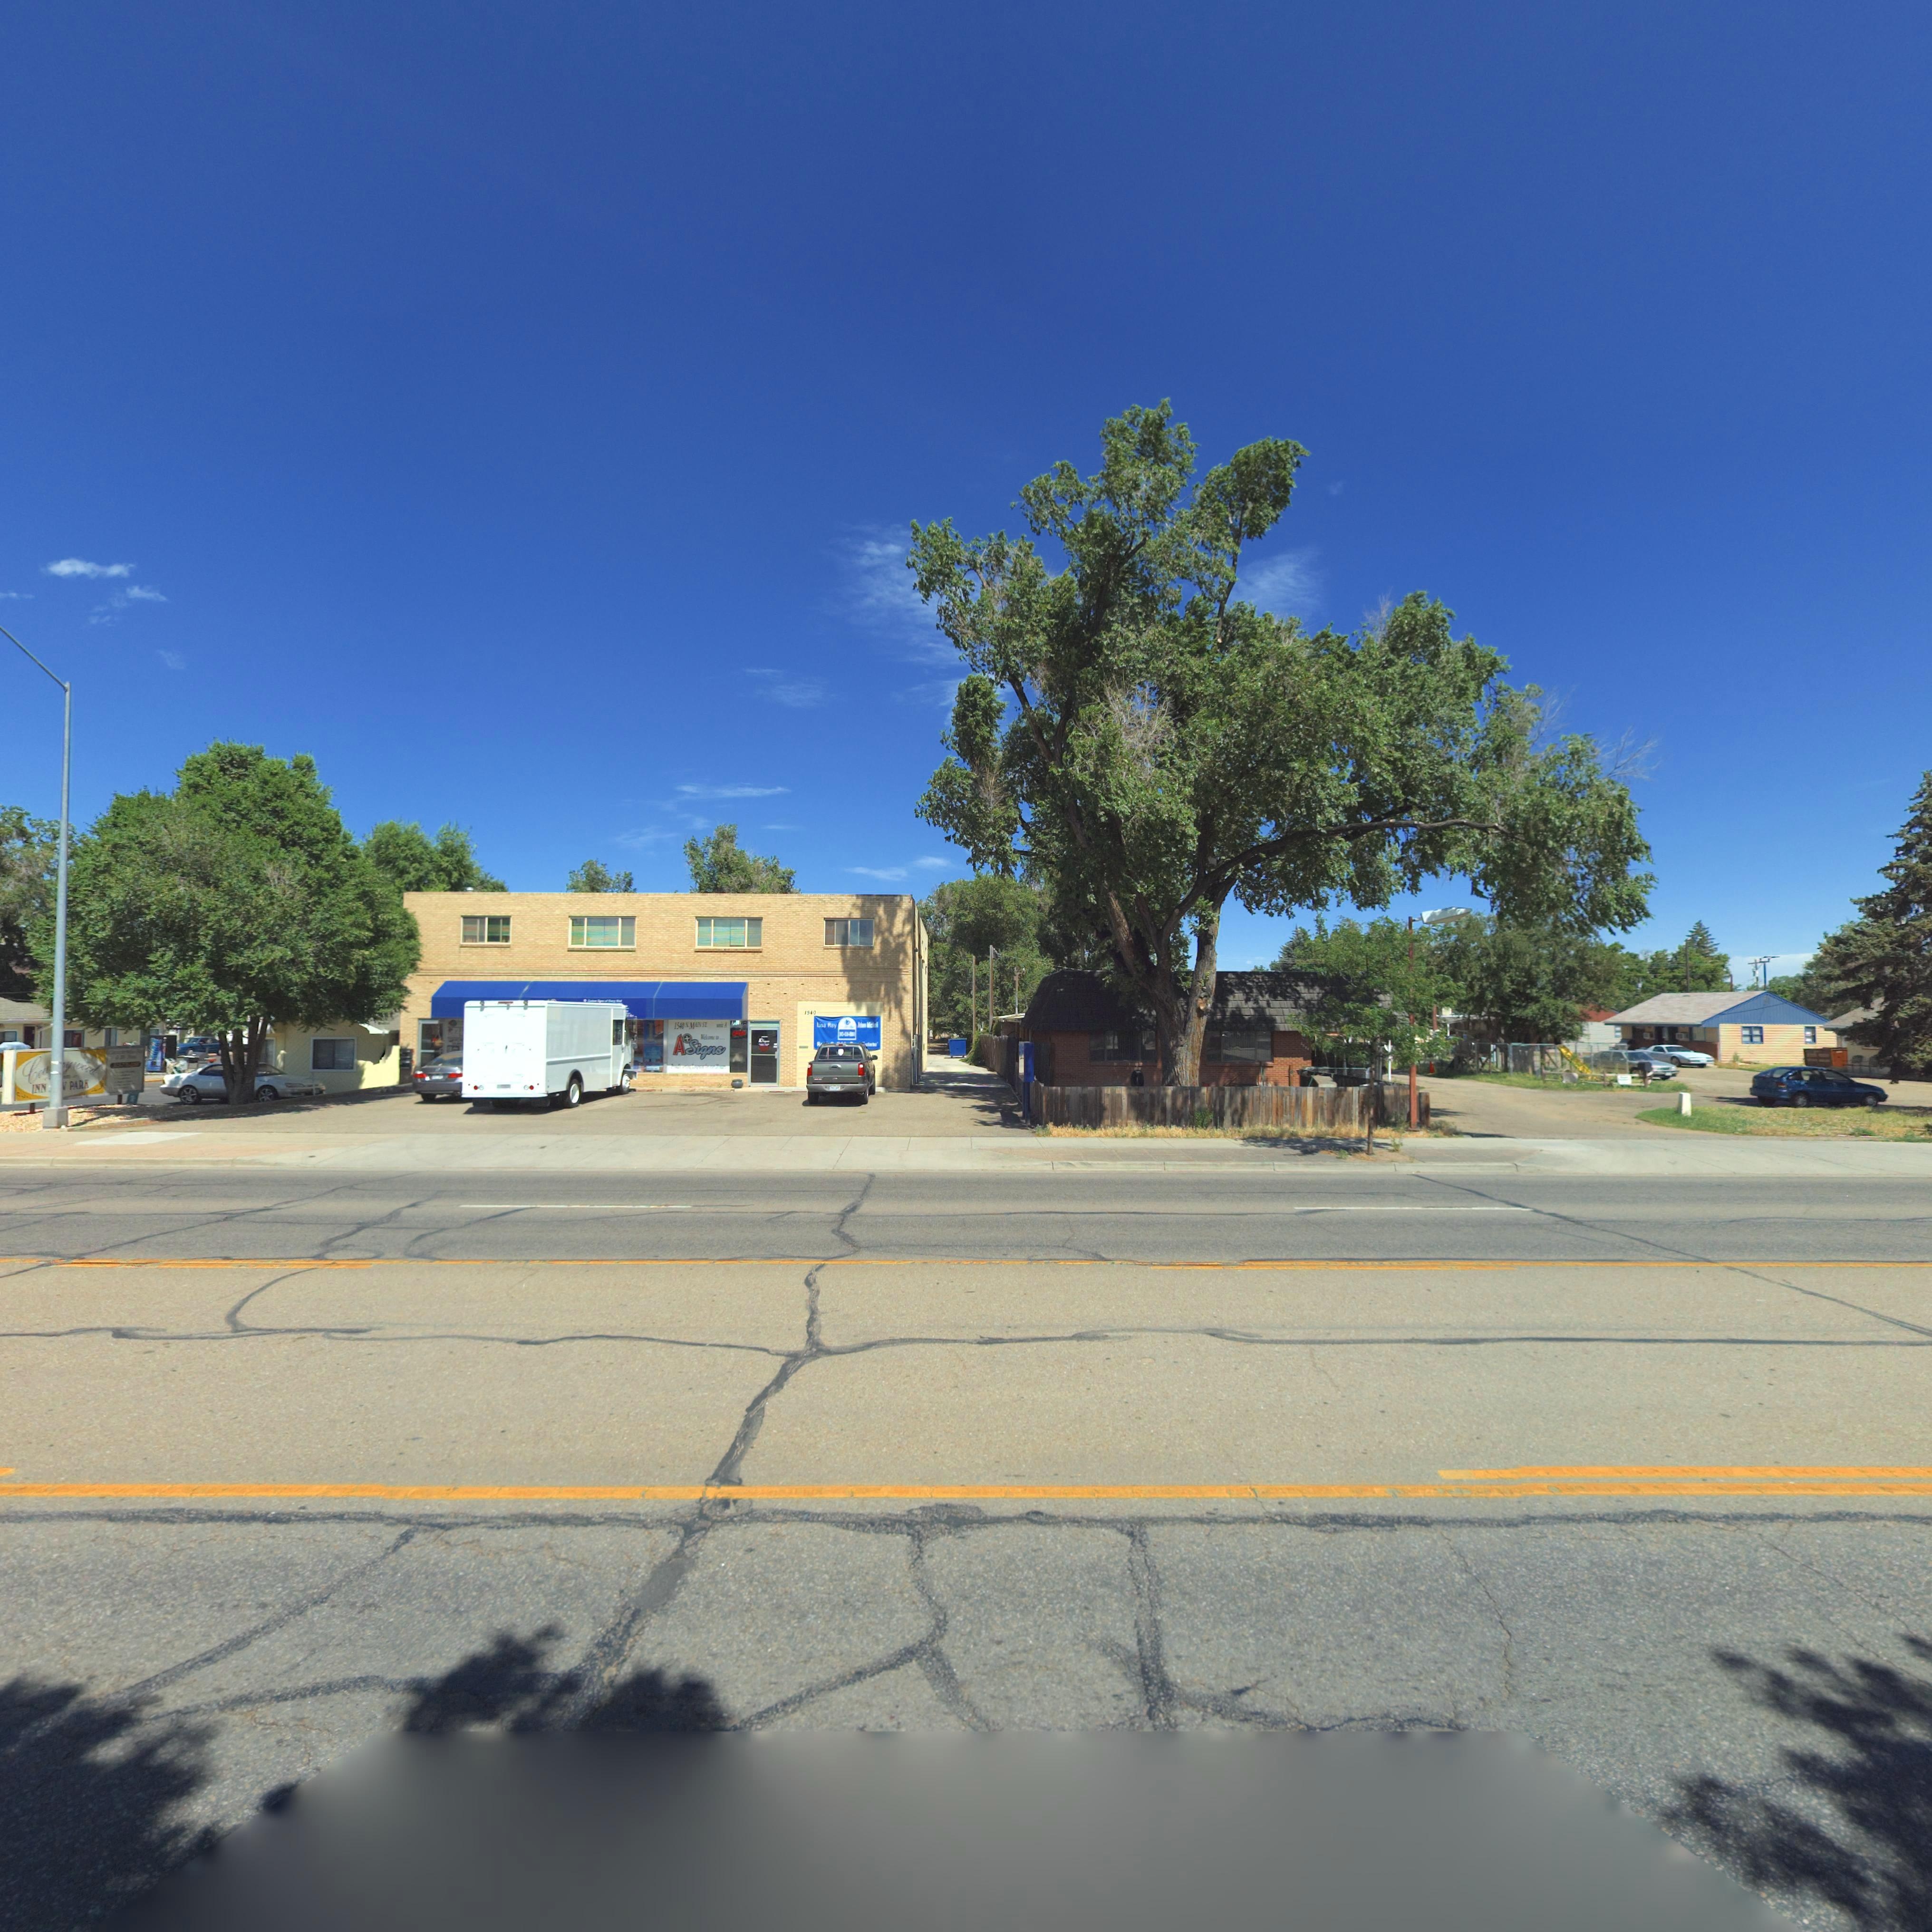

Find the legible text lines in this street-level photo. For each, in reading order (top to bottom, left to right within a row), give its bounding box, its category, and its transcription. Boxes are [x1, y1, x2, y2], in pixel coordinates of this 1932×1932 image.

[804, 1010, 816, 1014] StreetNumber: 1540
[674, 1021, 685, 1029] StreetNumber: 1540
[685, 1022, 707, 1029] StreetName: N. MAIN ST.
[716, 1022, 728, 1027] StreetNumberRange: unit A
[757, 1037, 770, 1043] BusinessName: ASigns
[672, 1033, 726, 1060] BusinessName: ASigns
[20, 1055, 105, 1084] BusinessName: Cou****wood
[31, 1079, 89, 1094] BusinessName: INN *  ** PARK 